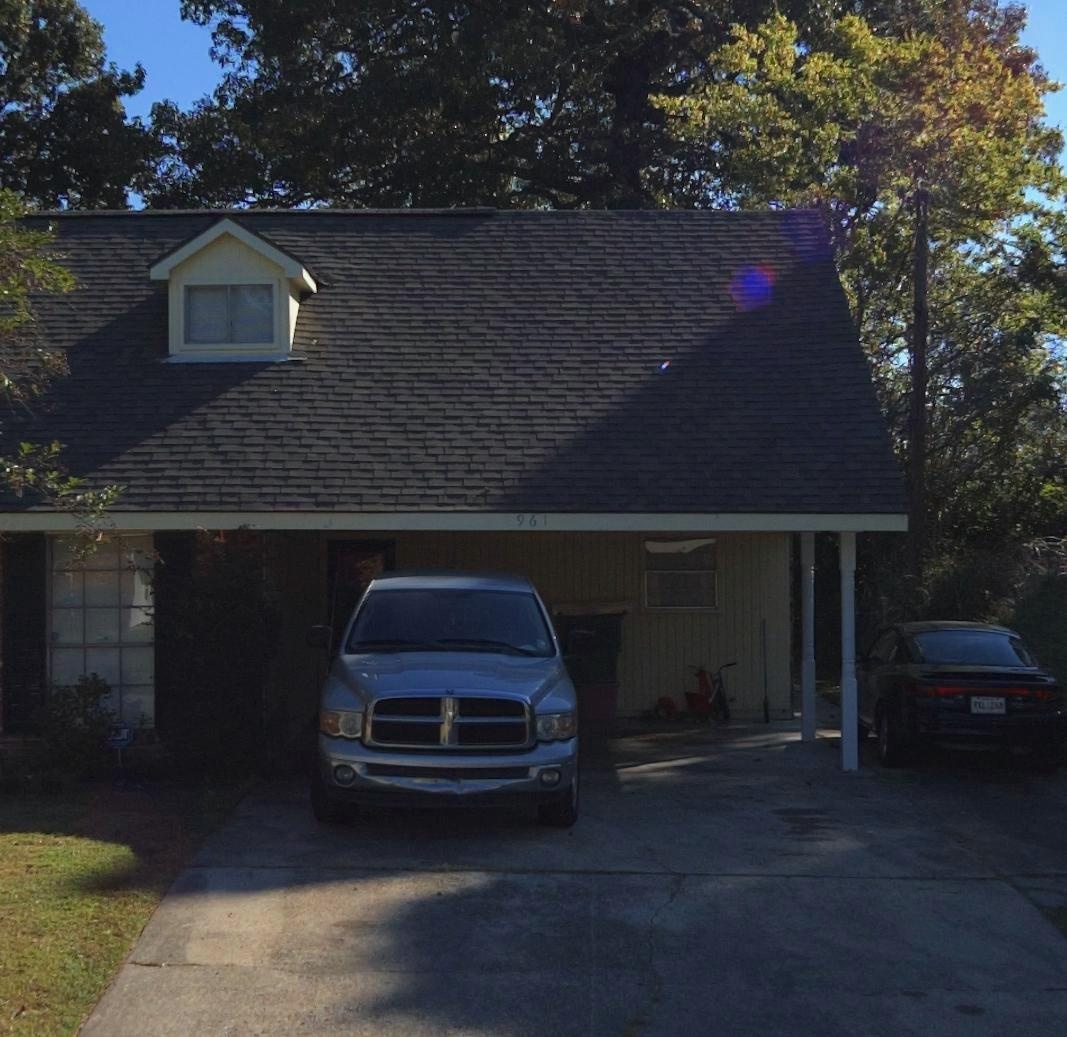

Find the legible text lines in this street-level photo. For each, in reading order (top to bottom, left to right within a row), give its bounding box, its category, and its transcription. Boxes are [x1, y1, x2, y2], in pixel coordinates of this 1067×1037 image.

[515, 512, 550, 529] StreetNumber: 961